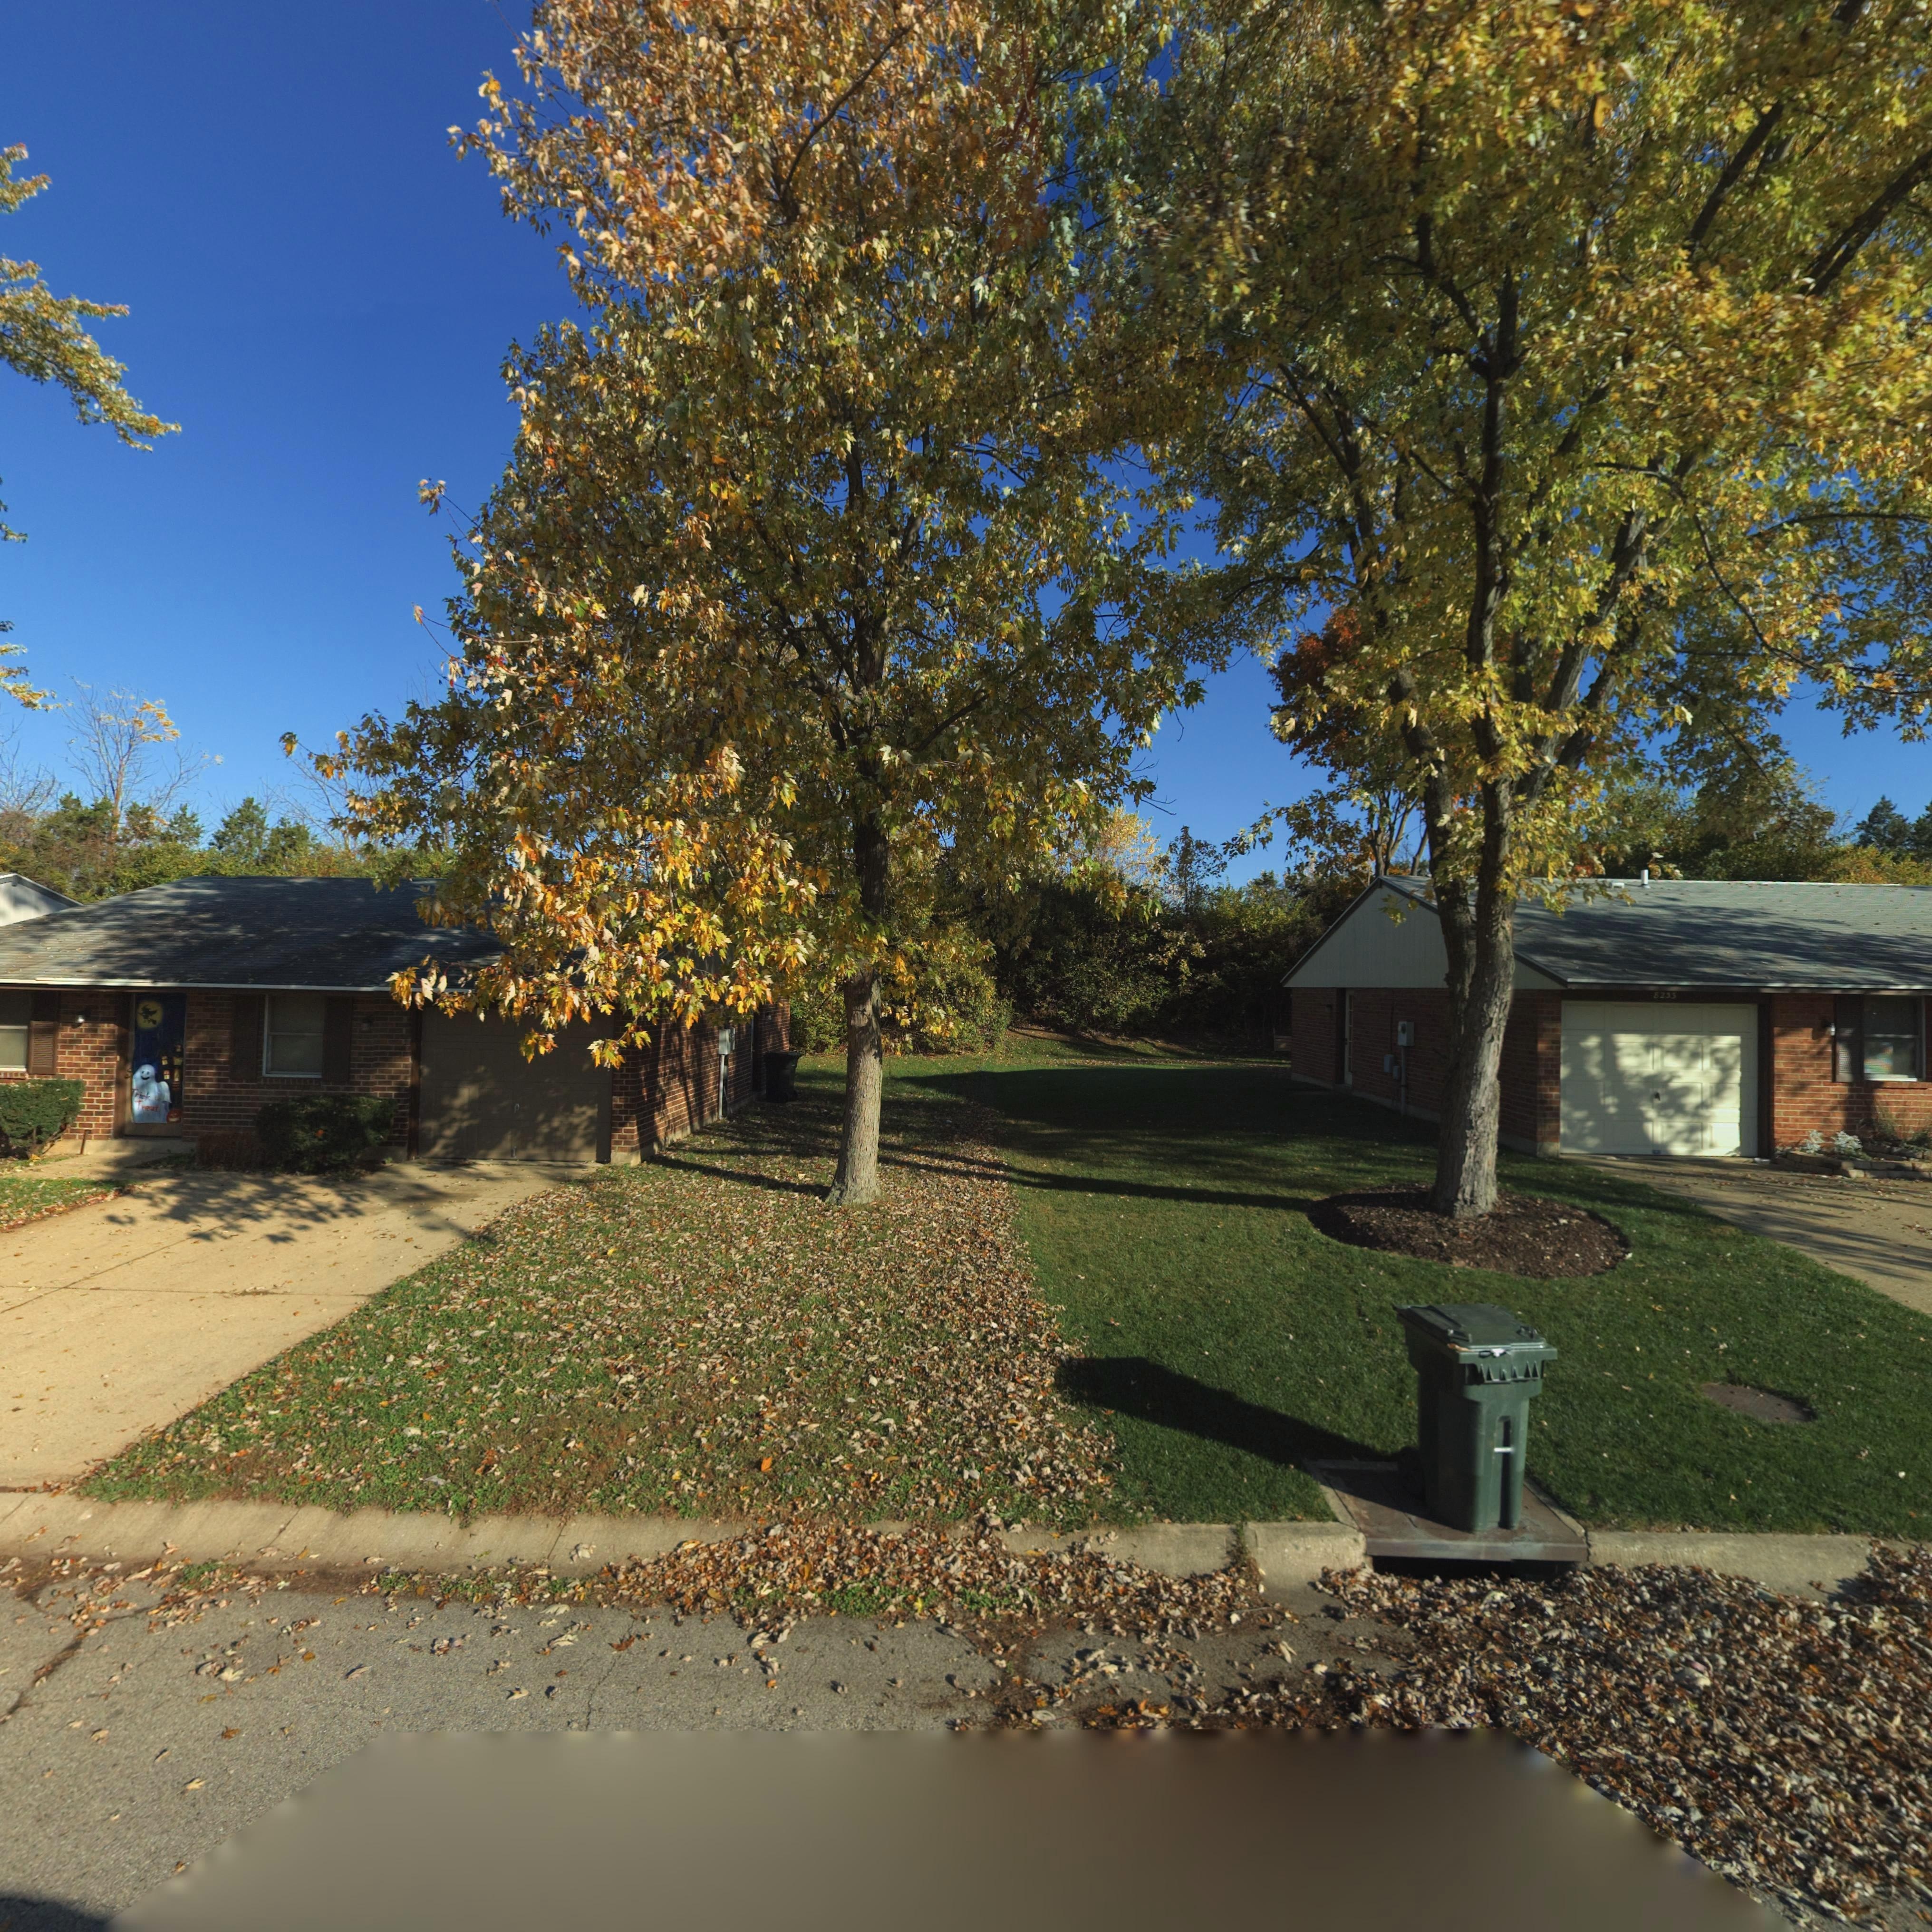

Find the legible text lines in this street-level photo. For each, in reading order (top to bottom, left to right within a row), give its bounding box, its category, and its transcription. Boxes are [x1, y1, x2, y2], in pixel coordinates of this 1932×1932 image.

[1652, 991, 1677, 1000] StreetNumber: 8233